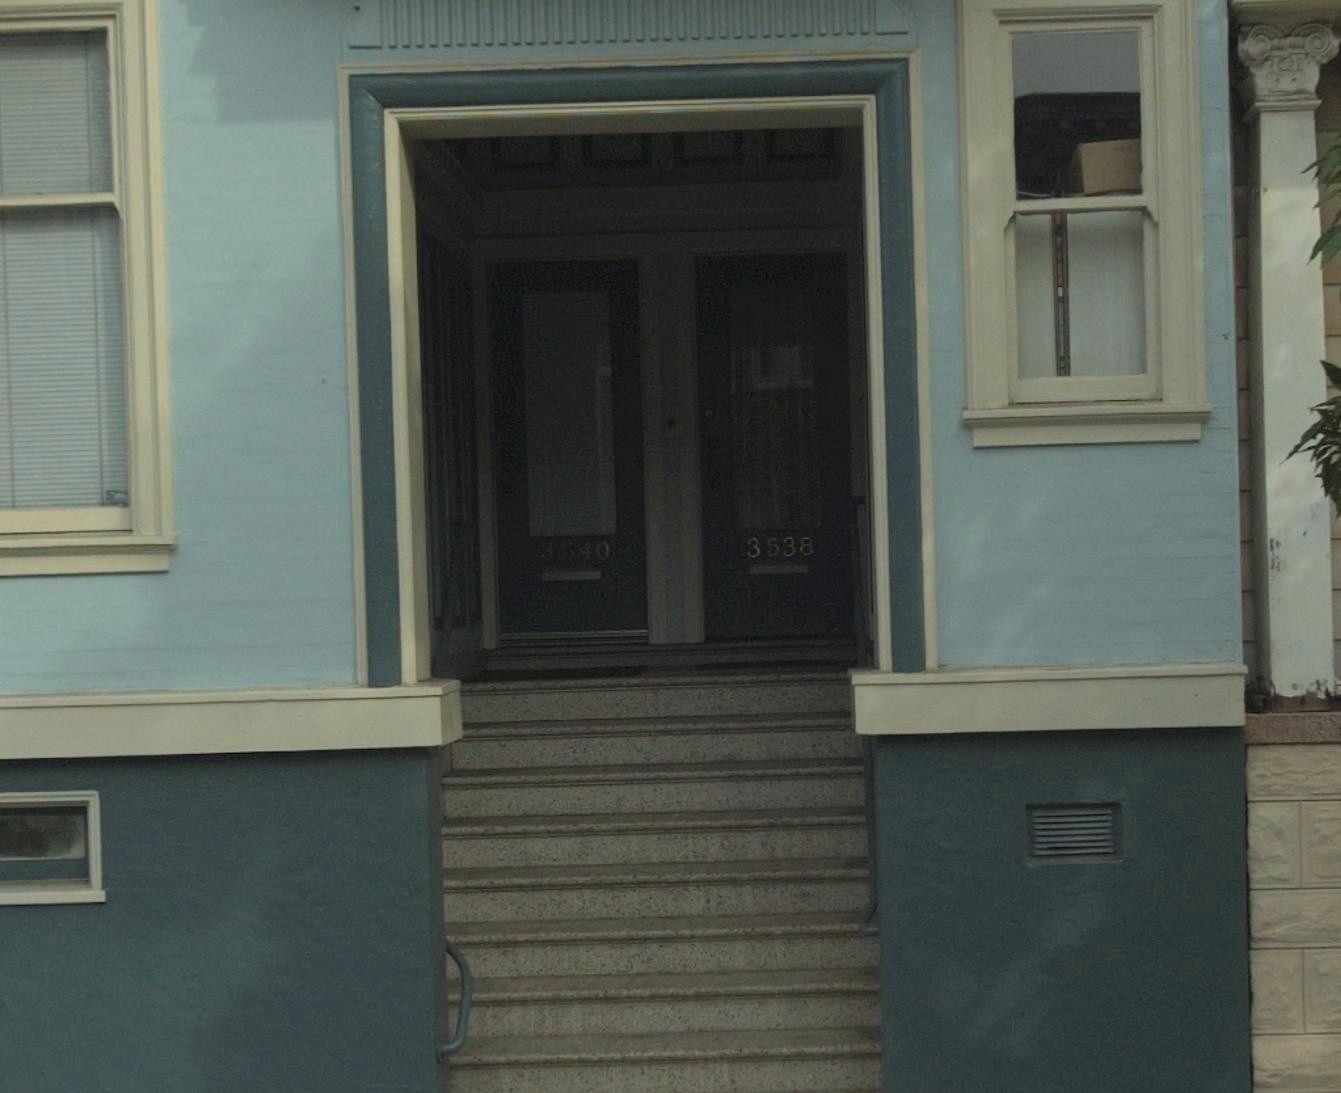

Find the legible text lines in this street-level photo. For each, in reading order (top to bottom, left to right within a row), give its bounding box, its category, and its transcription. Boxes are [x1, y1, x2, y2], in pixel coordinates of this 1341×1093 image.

[537, 539, 611, 563] StreetNumber: 3540
[745, 535, 815, 560] StreetNumber: 3538